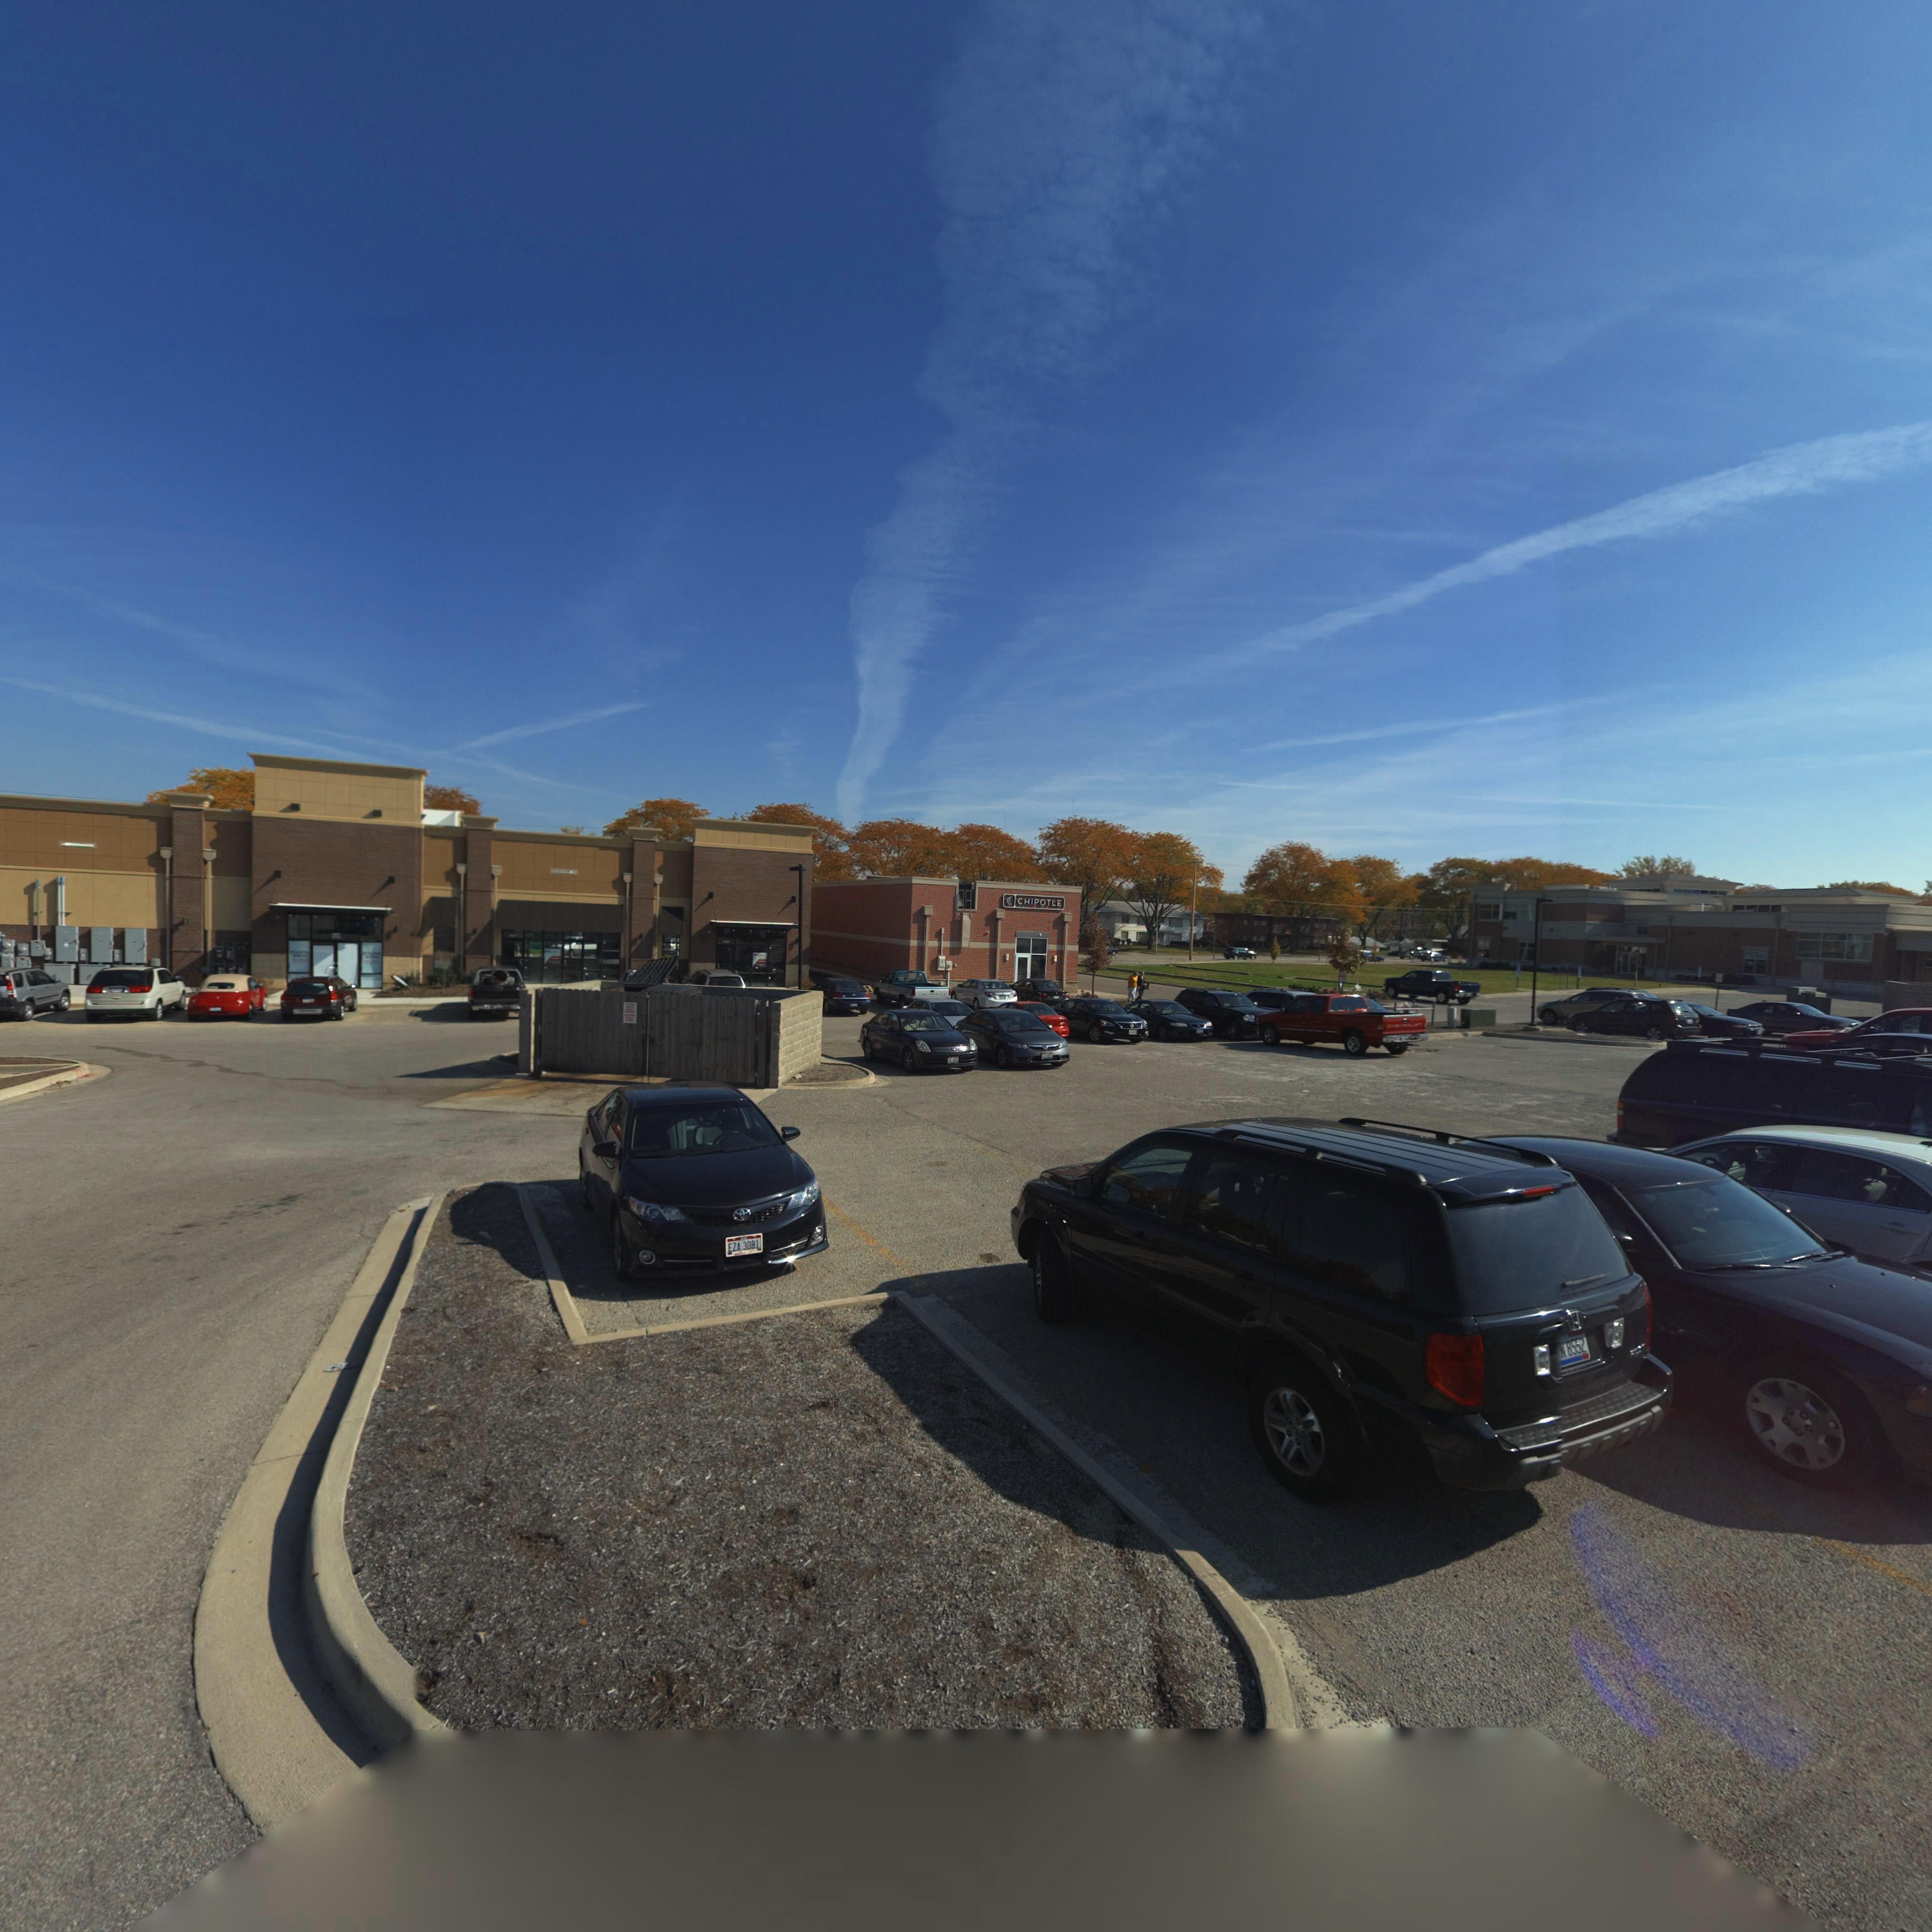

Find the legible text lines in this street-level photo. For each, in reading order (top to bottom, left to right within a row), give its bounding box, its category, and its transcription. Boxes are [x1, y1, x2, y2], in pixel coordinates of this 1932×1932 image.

[1015, 896, 1063, 908] BusinessName: CHIPOTLE